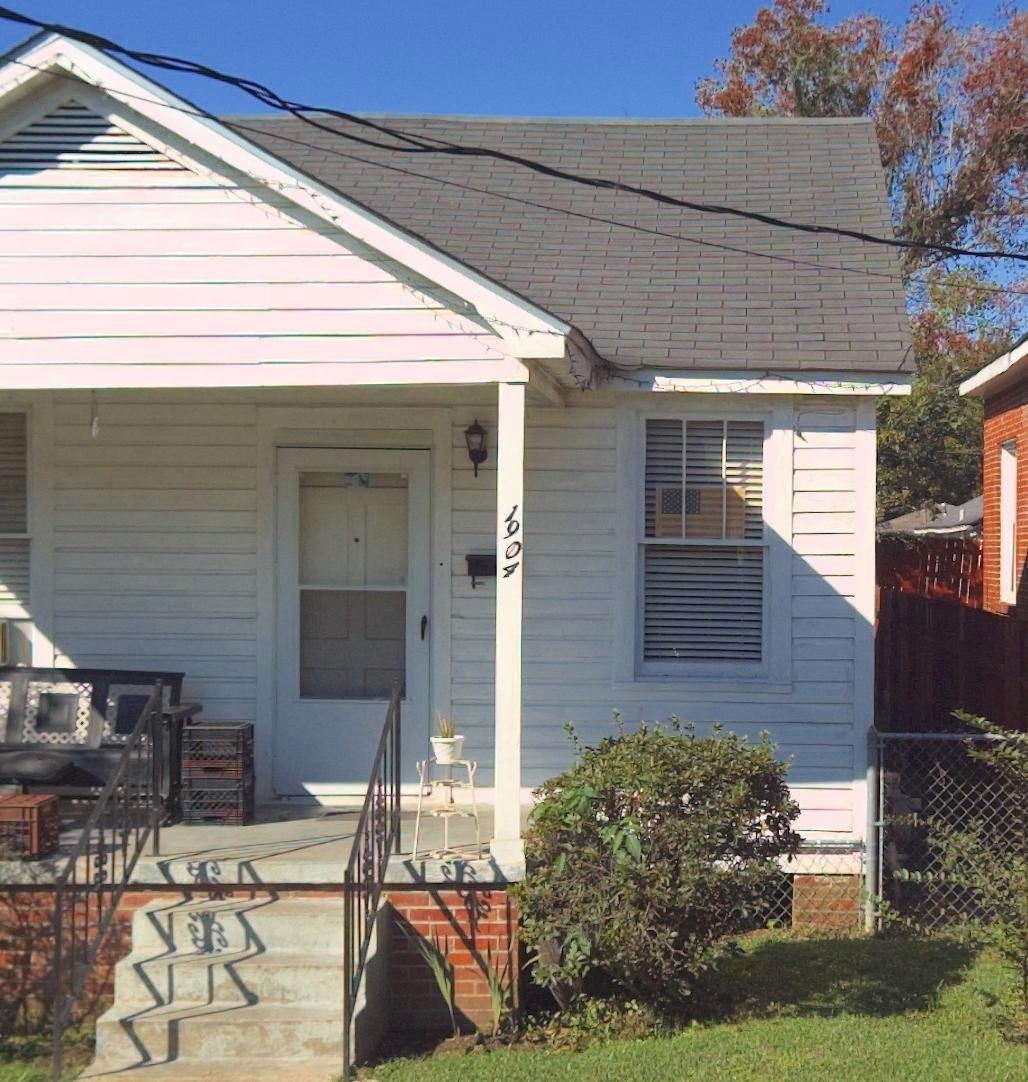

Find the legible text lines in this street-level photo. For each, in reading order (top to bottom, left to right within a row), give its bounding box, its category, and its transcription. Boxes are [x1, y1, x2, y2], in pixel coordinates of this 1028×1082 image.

[502, 494, 526, 587] StreetNumber: 1904